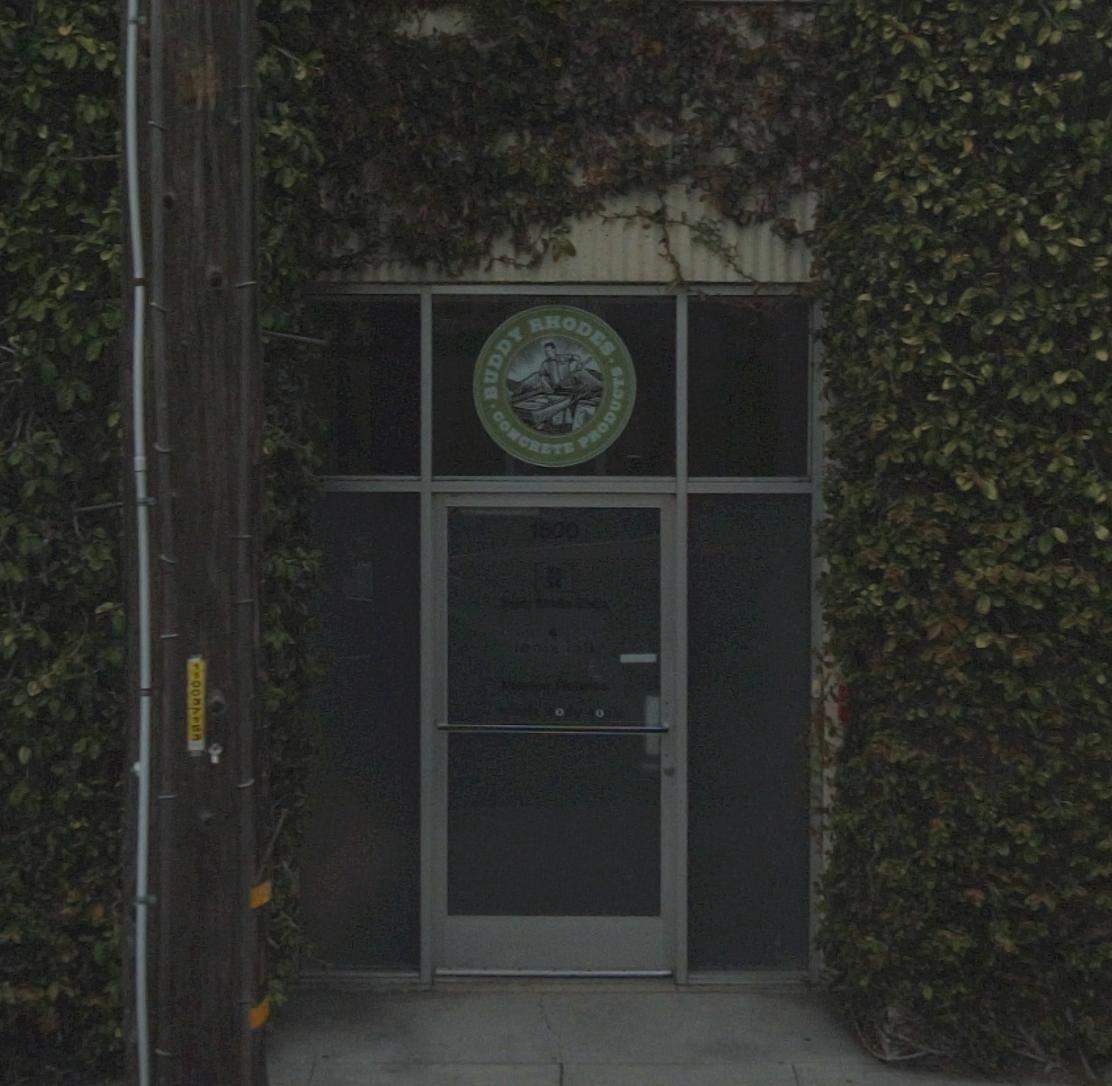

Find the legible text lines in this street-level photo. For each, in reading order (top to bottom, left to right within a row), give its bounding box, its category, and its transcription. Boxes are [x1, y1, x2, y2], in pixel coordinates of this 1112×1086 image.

[478, 314, 618, 402] BusinessName: BUDDY RHODES
[489, 363, 628, 458] BusinessName: CONCRETE PRODUCTS
[527, 517, 580, 539] StreetNumber: 1500
[188, 660, 203, 740] None: 110037153